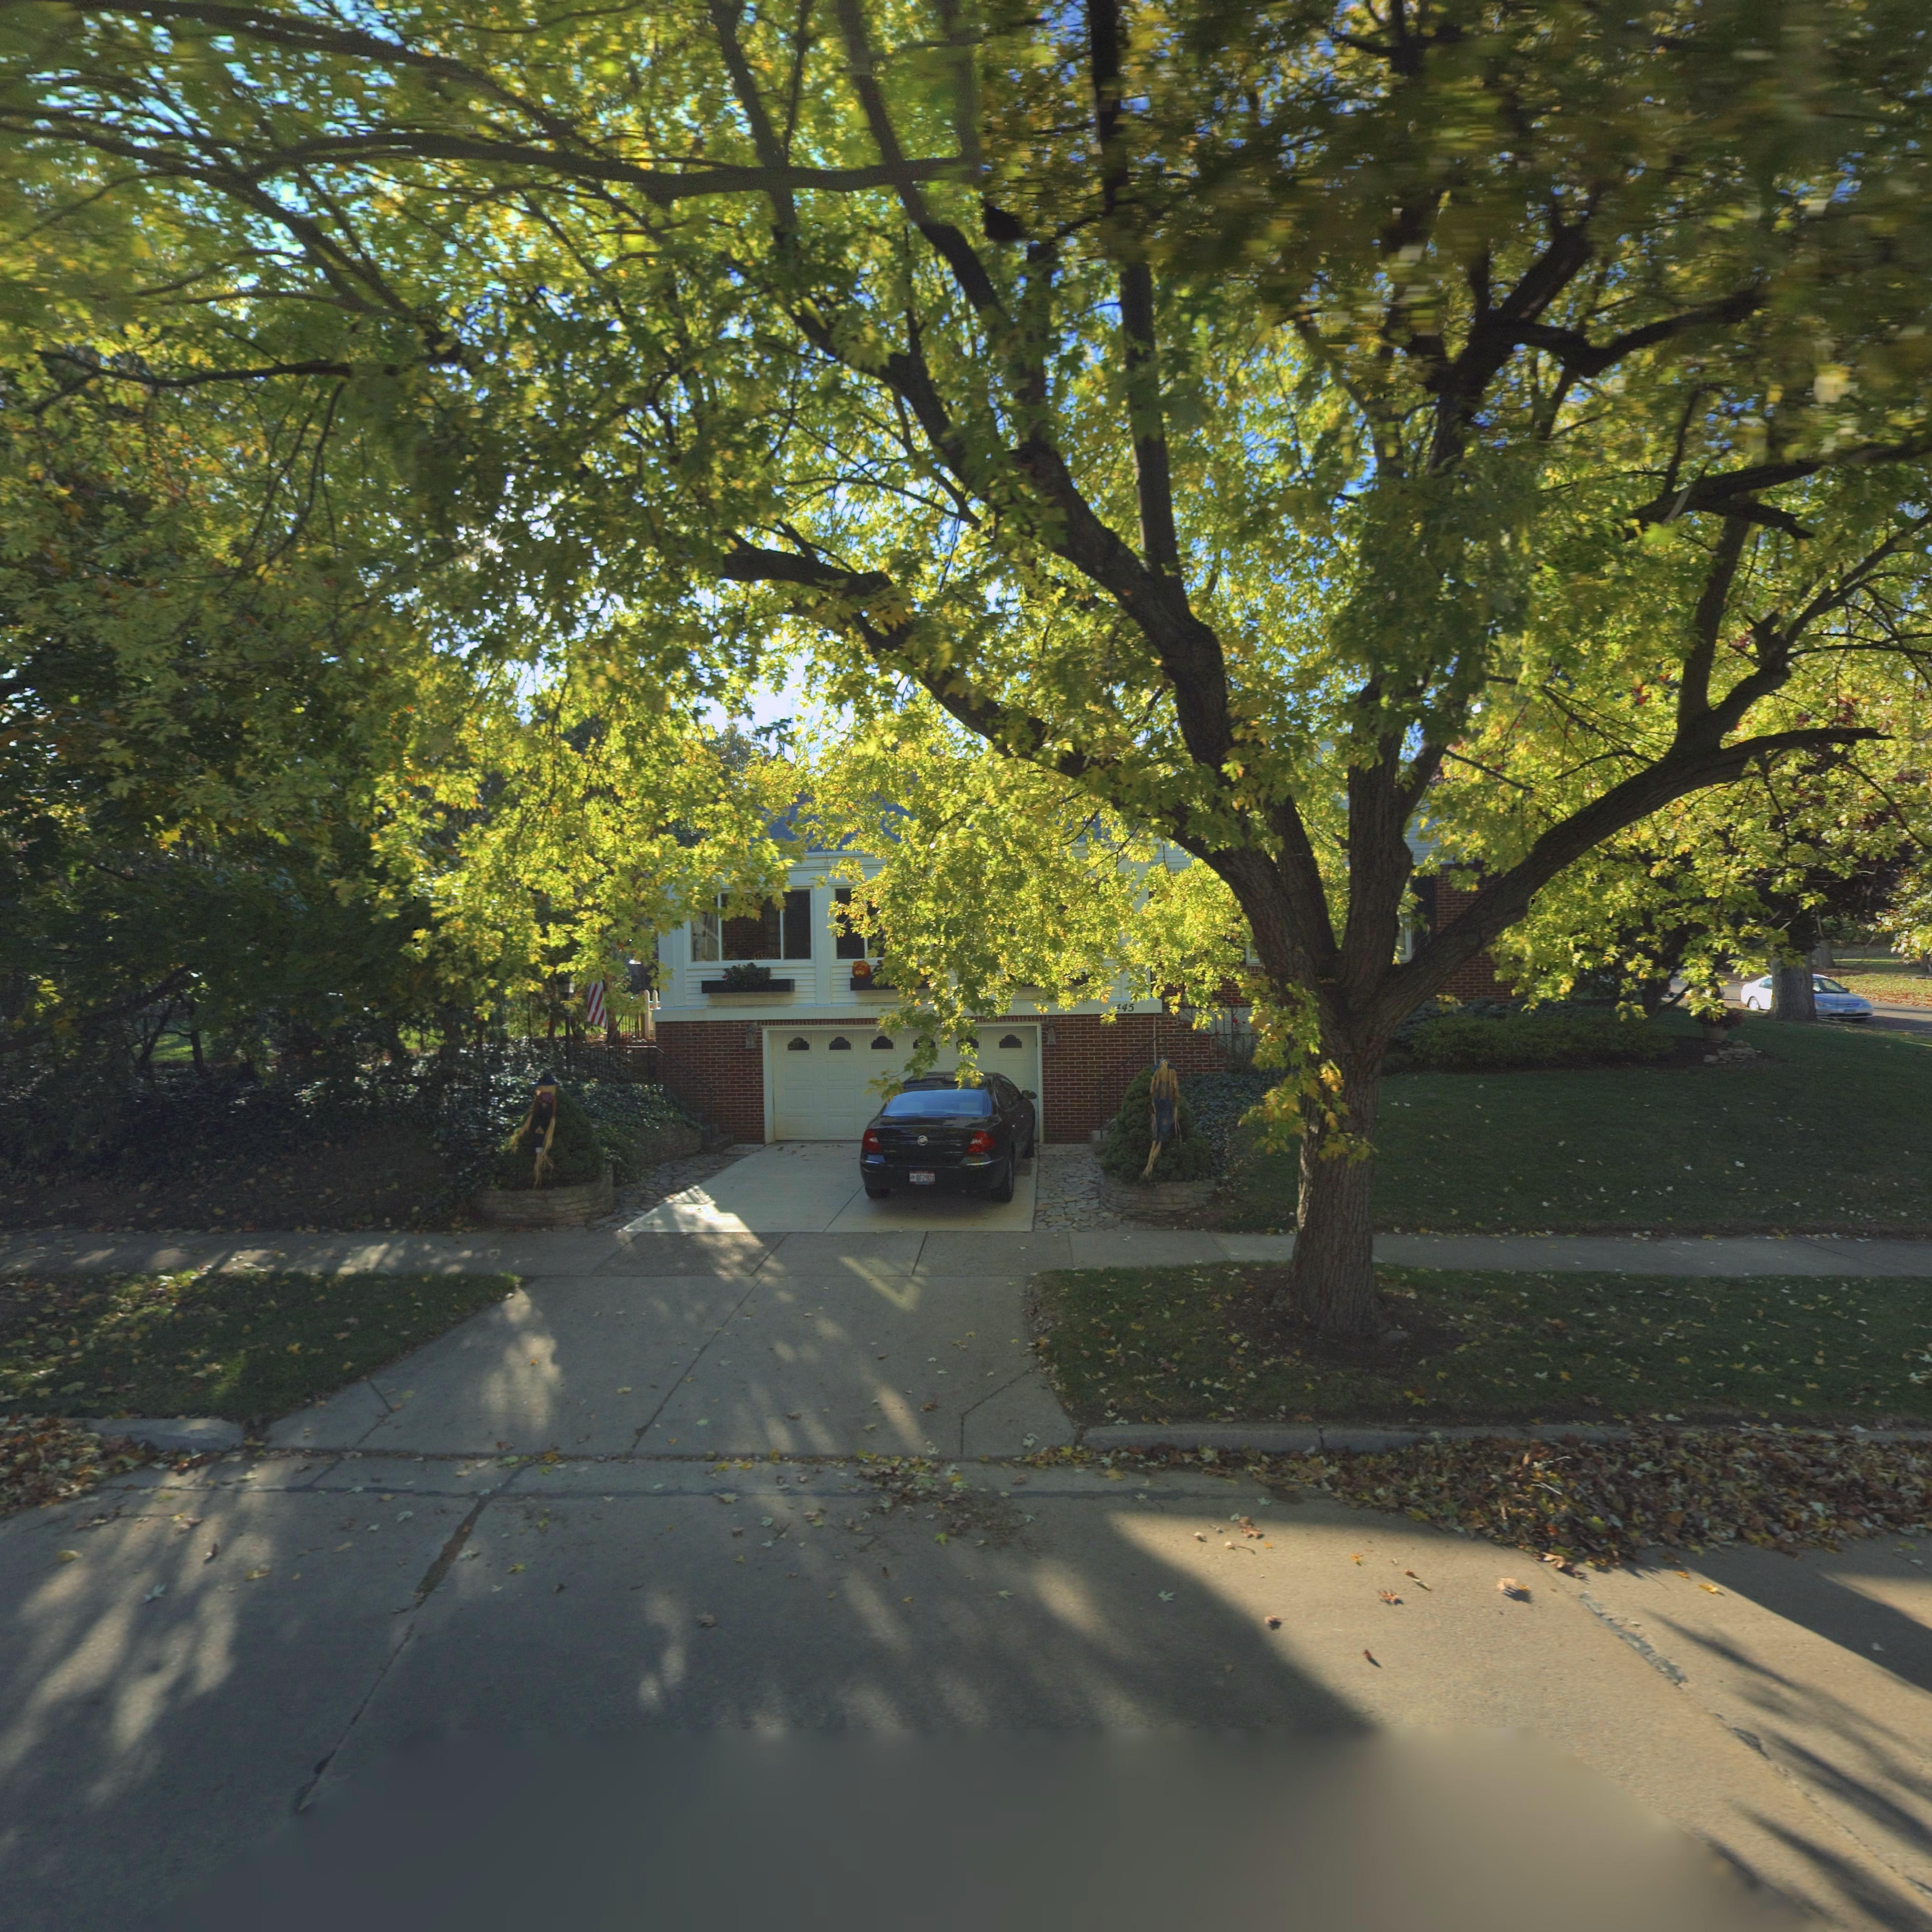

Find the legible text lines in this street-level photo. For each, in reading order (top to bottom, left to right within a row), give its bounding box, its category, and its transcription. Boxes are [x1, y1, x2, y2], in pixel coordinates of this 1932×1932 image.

[1112, 1003, 1135, 1012] StreetNumber: *45